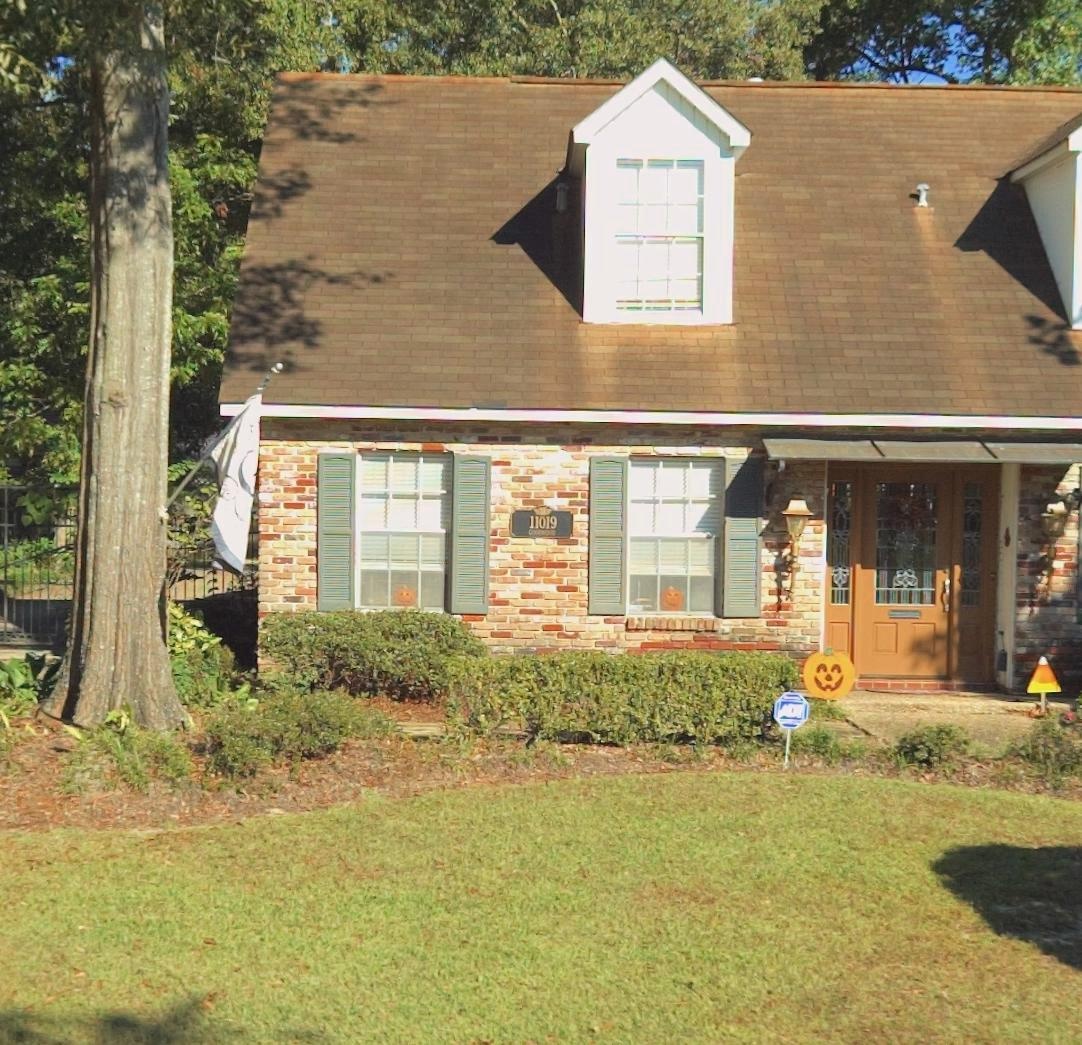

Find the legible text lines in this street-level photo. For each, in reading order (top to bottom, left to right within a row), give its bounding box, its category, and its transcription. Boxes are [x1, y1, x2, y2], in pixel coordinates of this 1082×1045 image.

[528, 514, 559, 531] StreetNumber: 11019